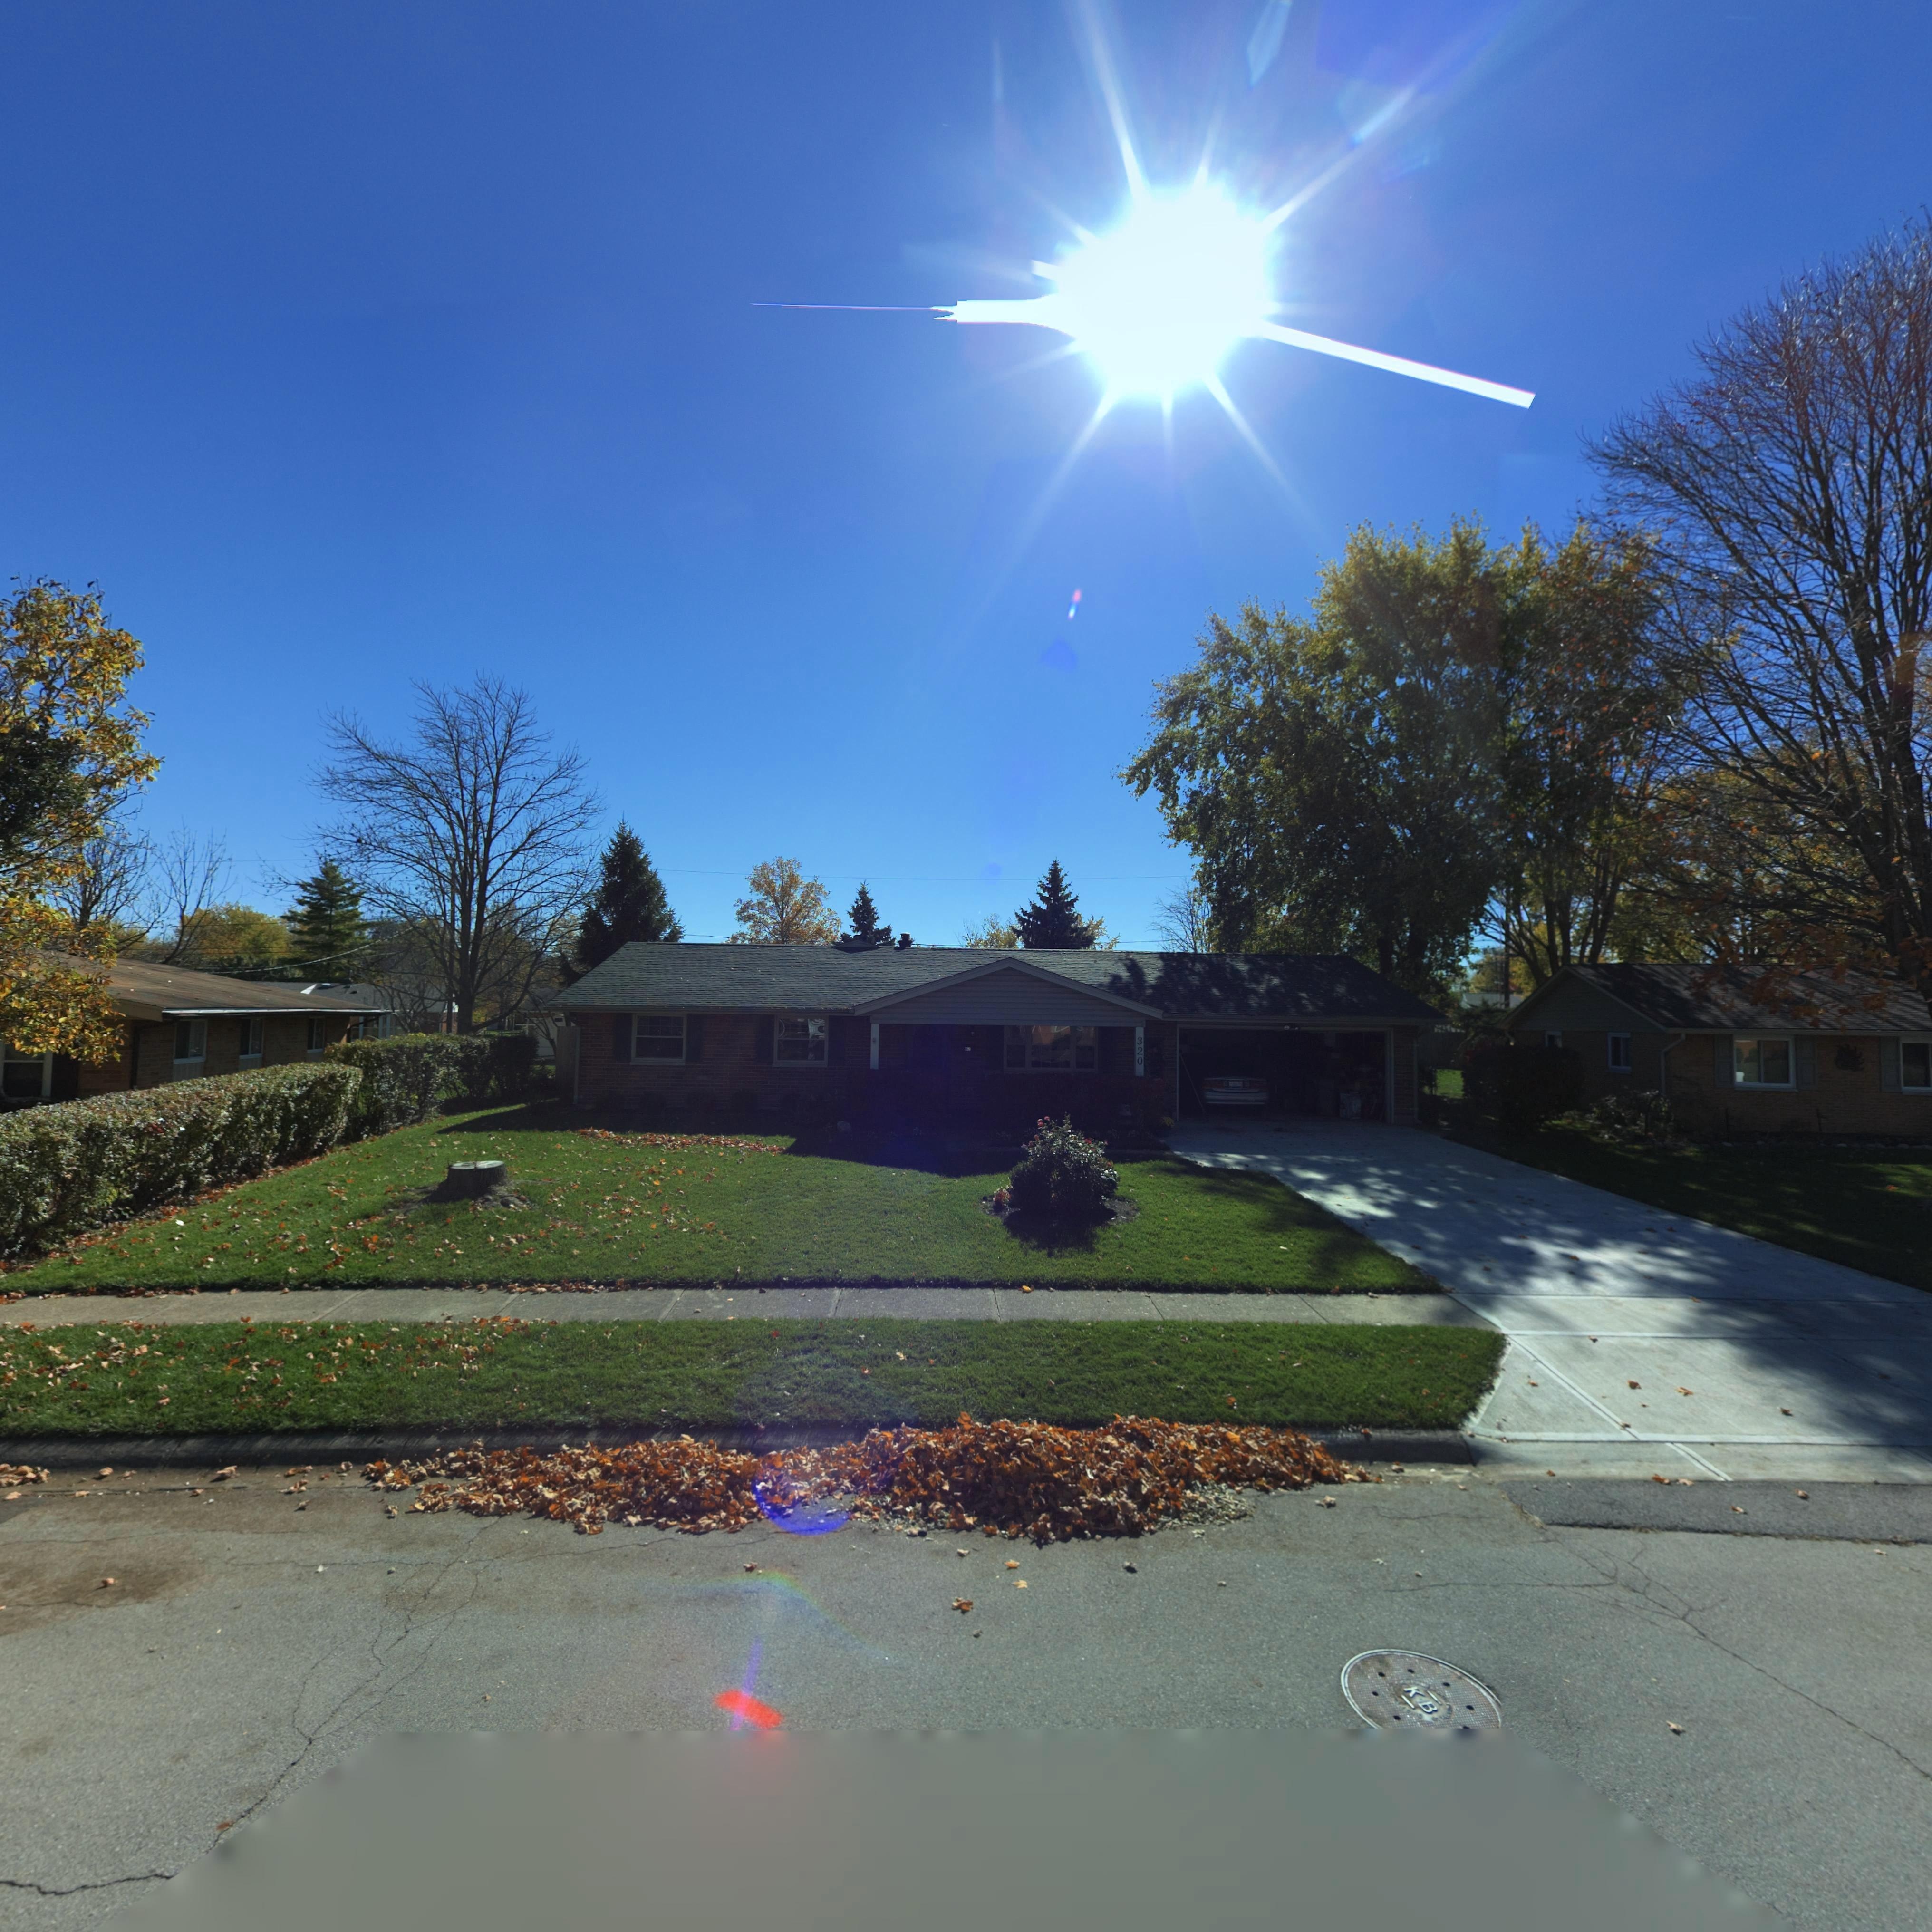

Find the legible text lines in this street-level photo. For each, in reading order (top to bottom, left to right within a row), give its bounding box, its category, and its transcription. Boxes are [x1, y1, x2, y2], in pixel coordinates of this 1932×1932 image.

[1136, 1035, 1145, 1066] StreetNumber: 320